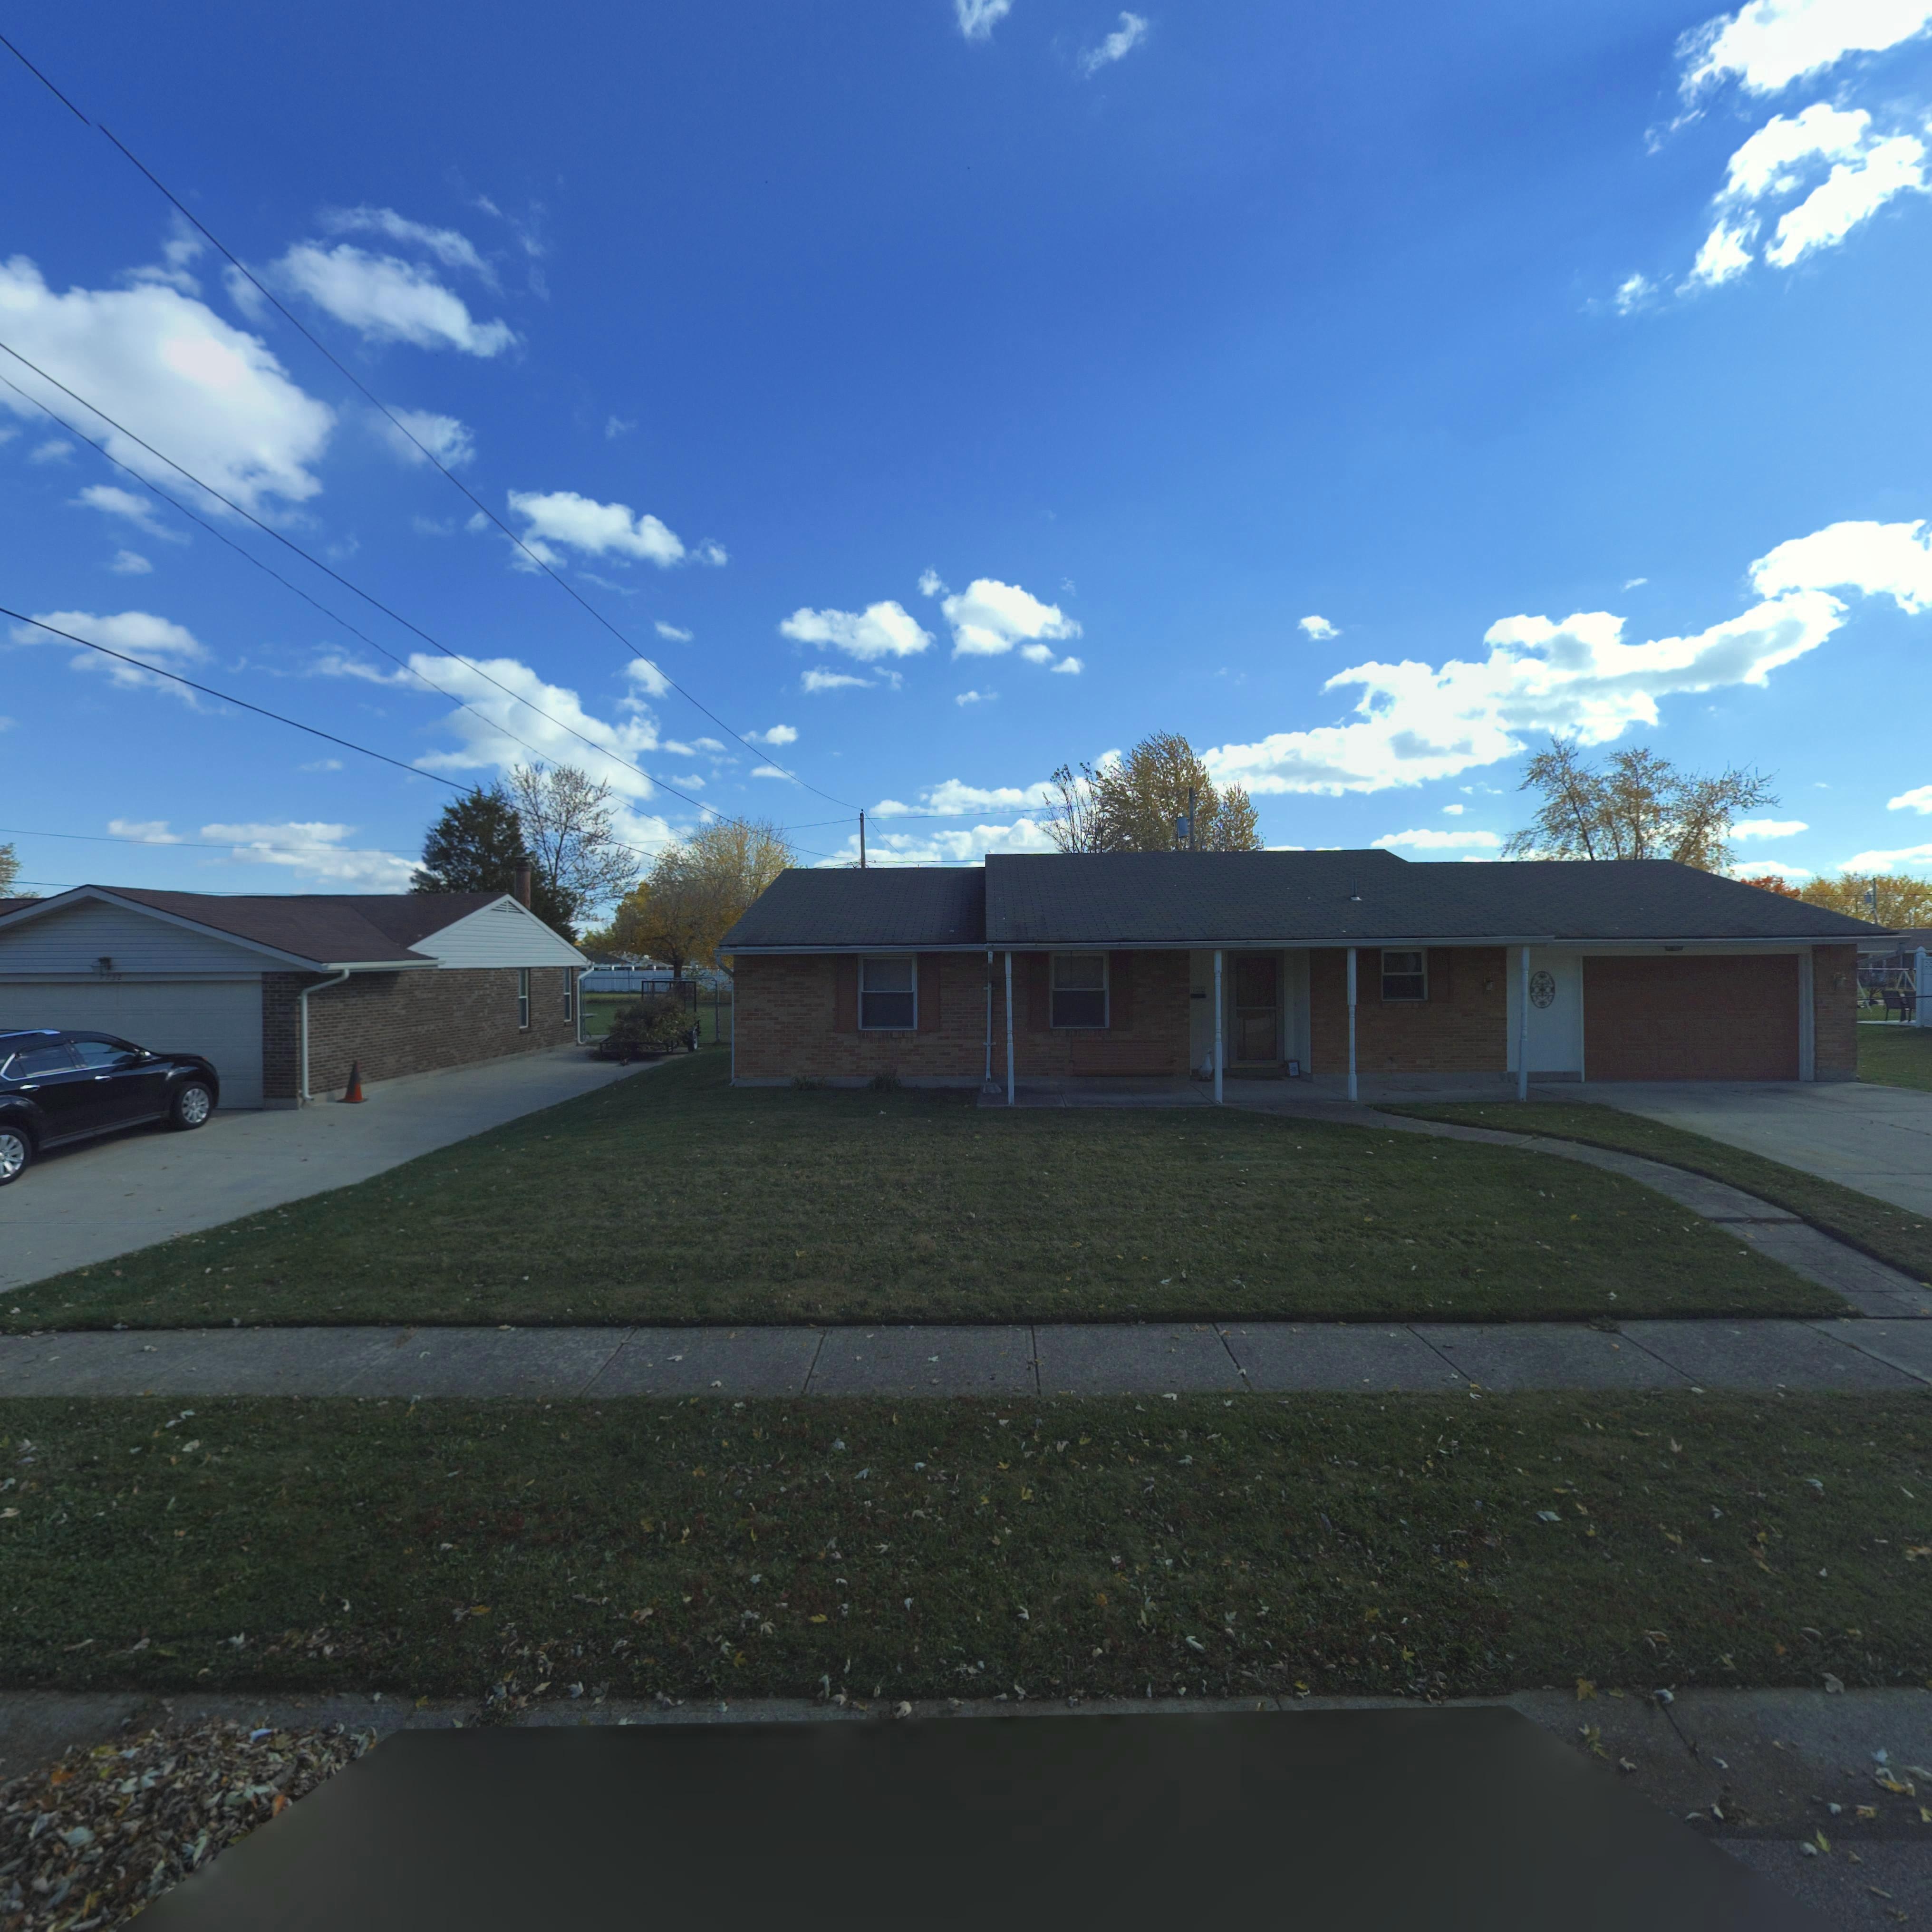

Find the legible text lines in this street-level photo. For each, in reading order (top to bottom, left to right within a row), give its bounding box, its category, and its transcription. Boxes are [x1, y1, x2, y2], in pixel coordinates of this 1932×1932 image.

[97, 973, 124, 983] StreetNumber: 7*32
[1191, 985, 1207, 994] StreetNumber: **2